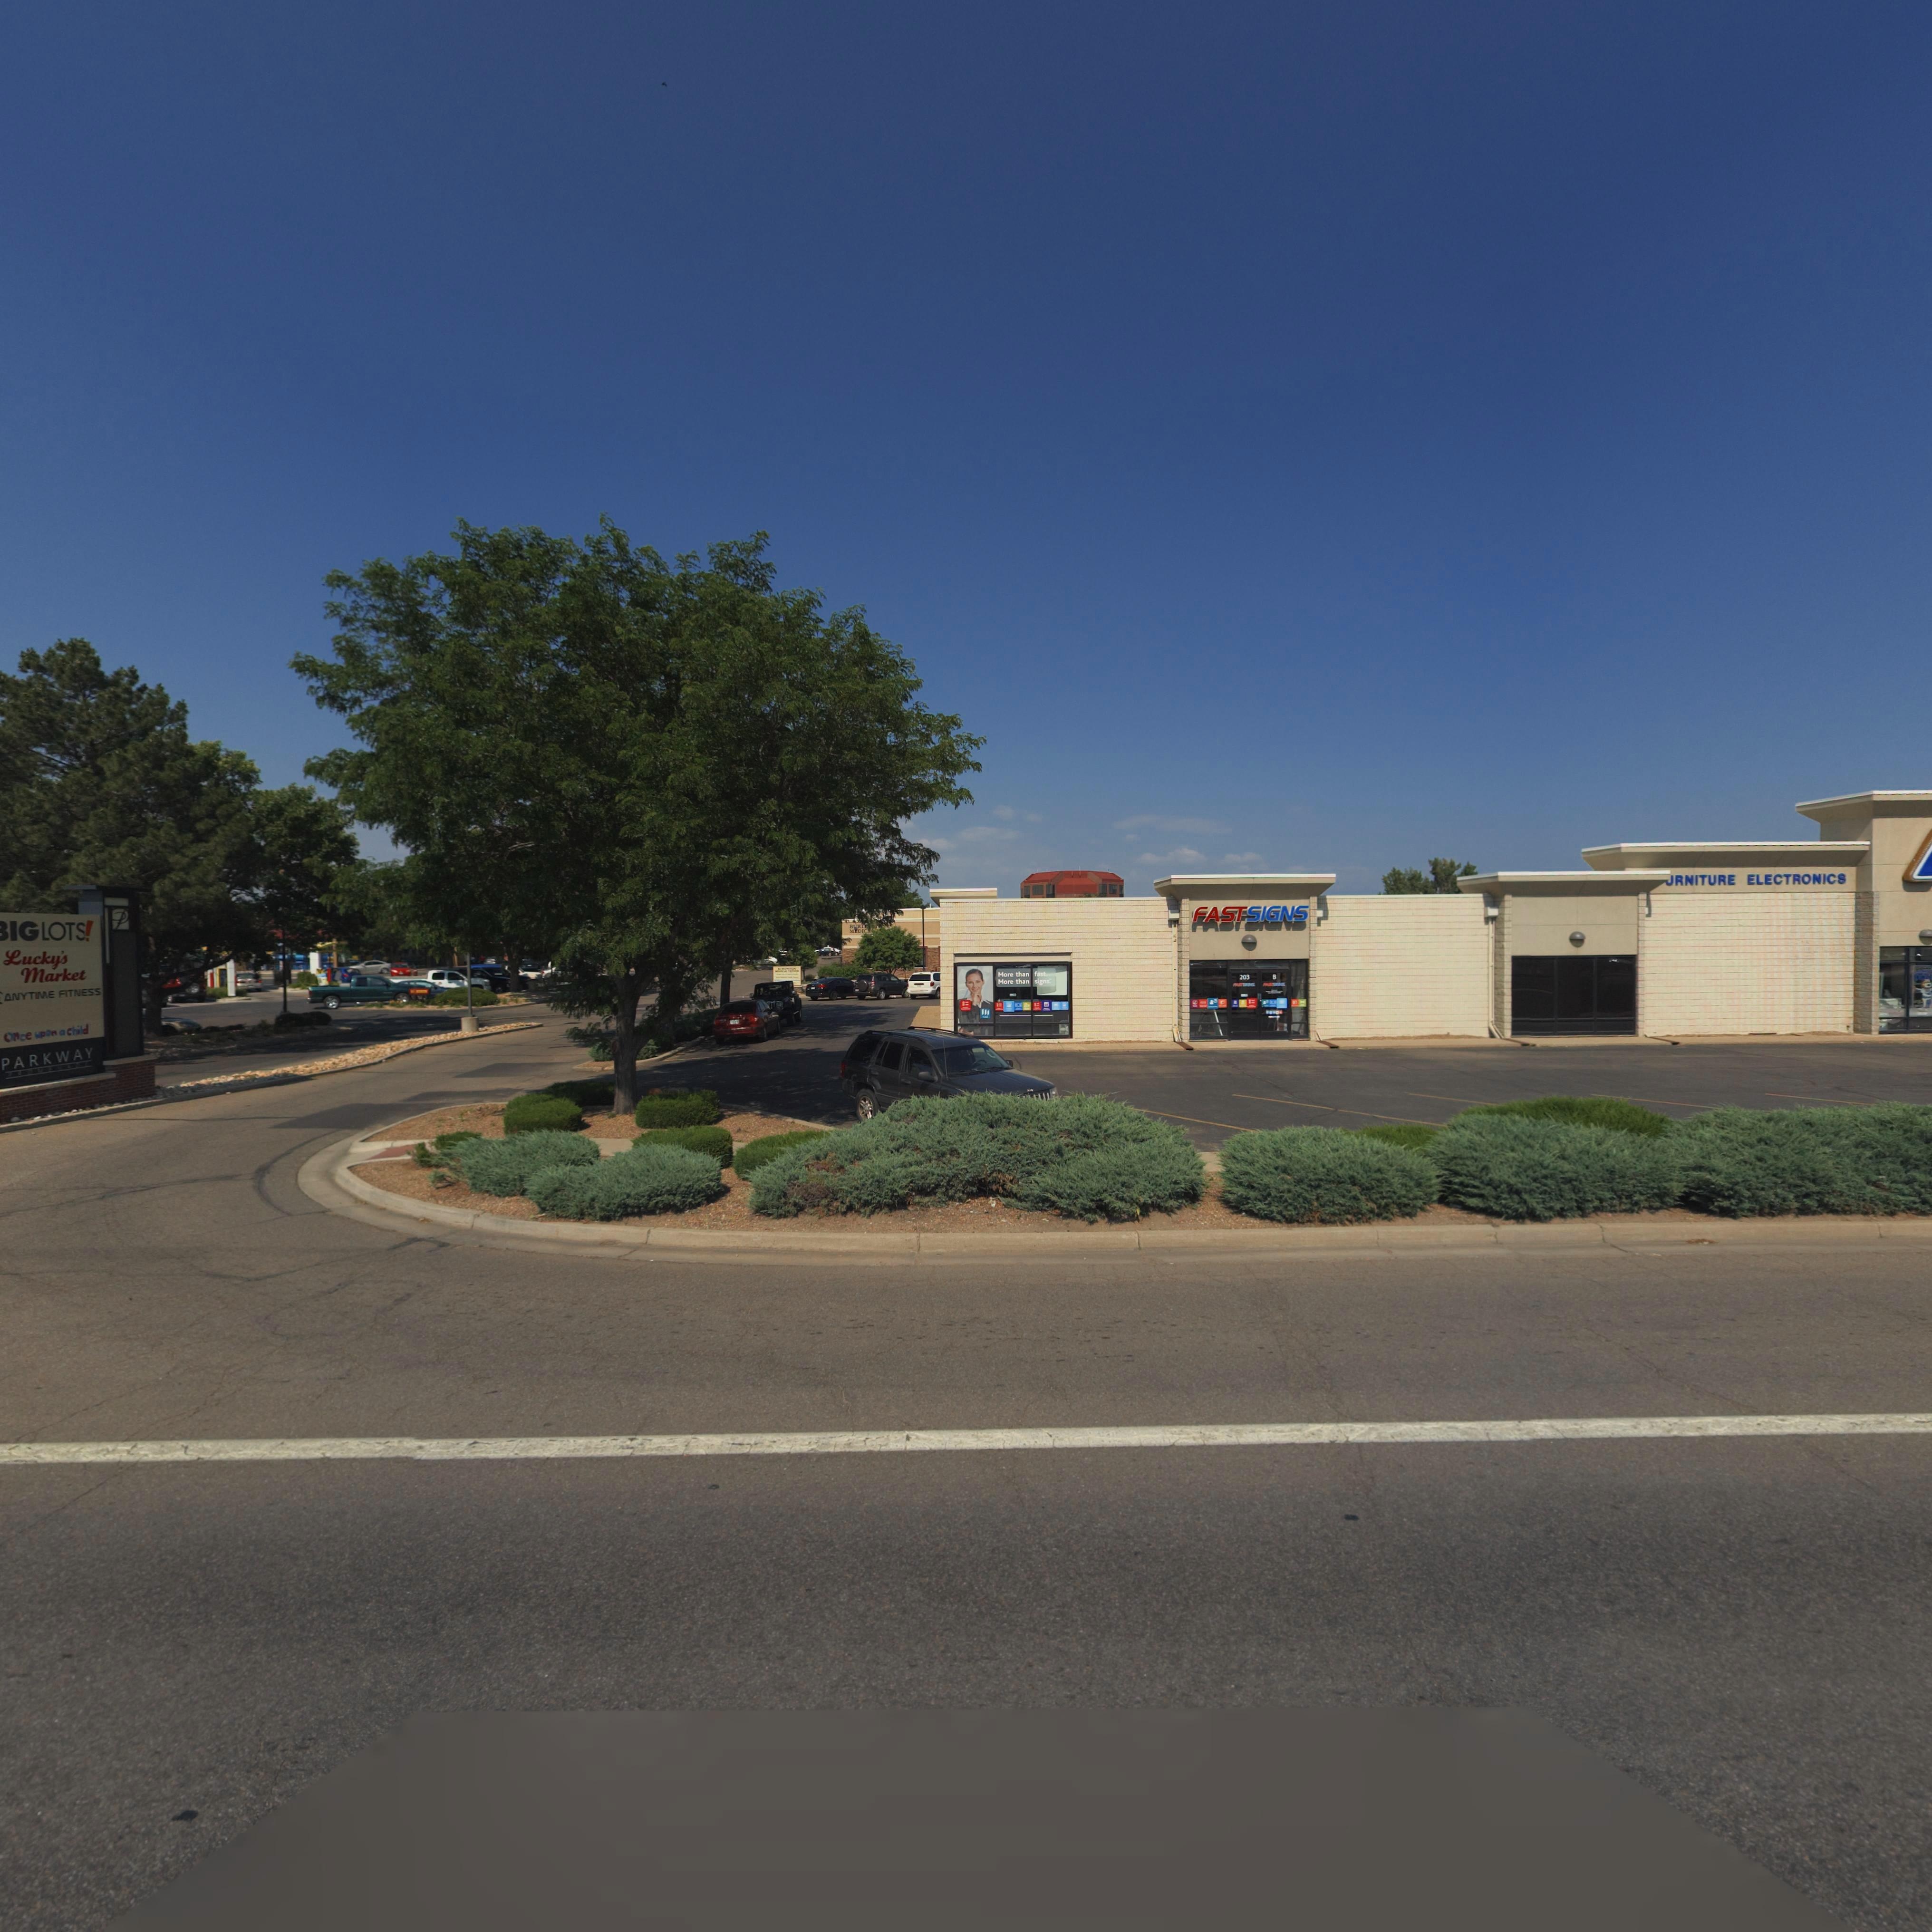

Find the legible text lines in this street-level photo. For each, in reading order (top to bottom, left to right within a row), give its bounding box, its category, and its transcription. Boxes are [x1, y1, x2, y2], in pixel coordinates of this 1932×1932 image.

[1191, 904, 1310, 923] BusinessName: FASTSIGNS
[8, 919, 87, 941] BusinessName: IGLOTS
[849, 924, 868, 928] BusinessName: BURL*
[849, 928, 868, 933] BusinessName: MEDIC
[2, 948, 69, 970] BusinessName: Lucky's
[23, 966, 88, 984] BusinessName: market
[1239, 973, 1250, 980] StreetNumber: 203
[3, 986, 102, 1002] BusinessName: ANYTIME FITNESS
[3, 1022, 89, 1043] BusinessName: once upon a child